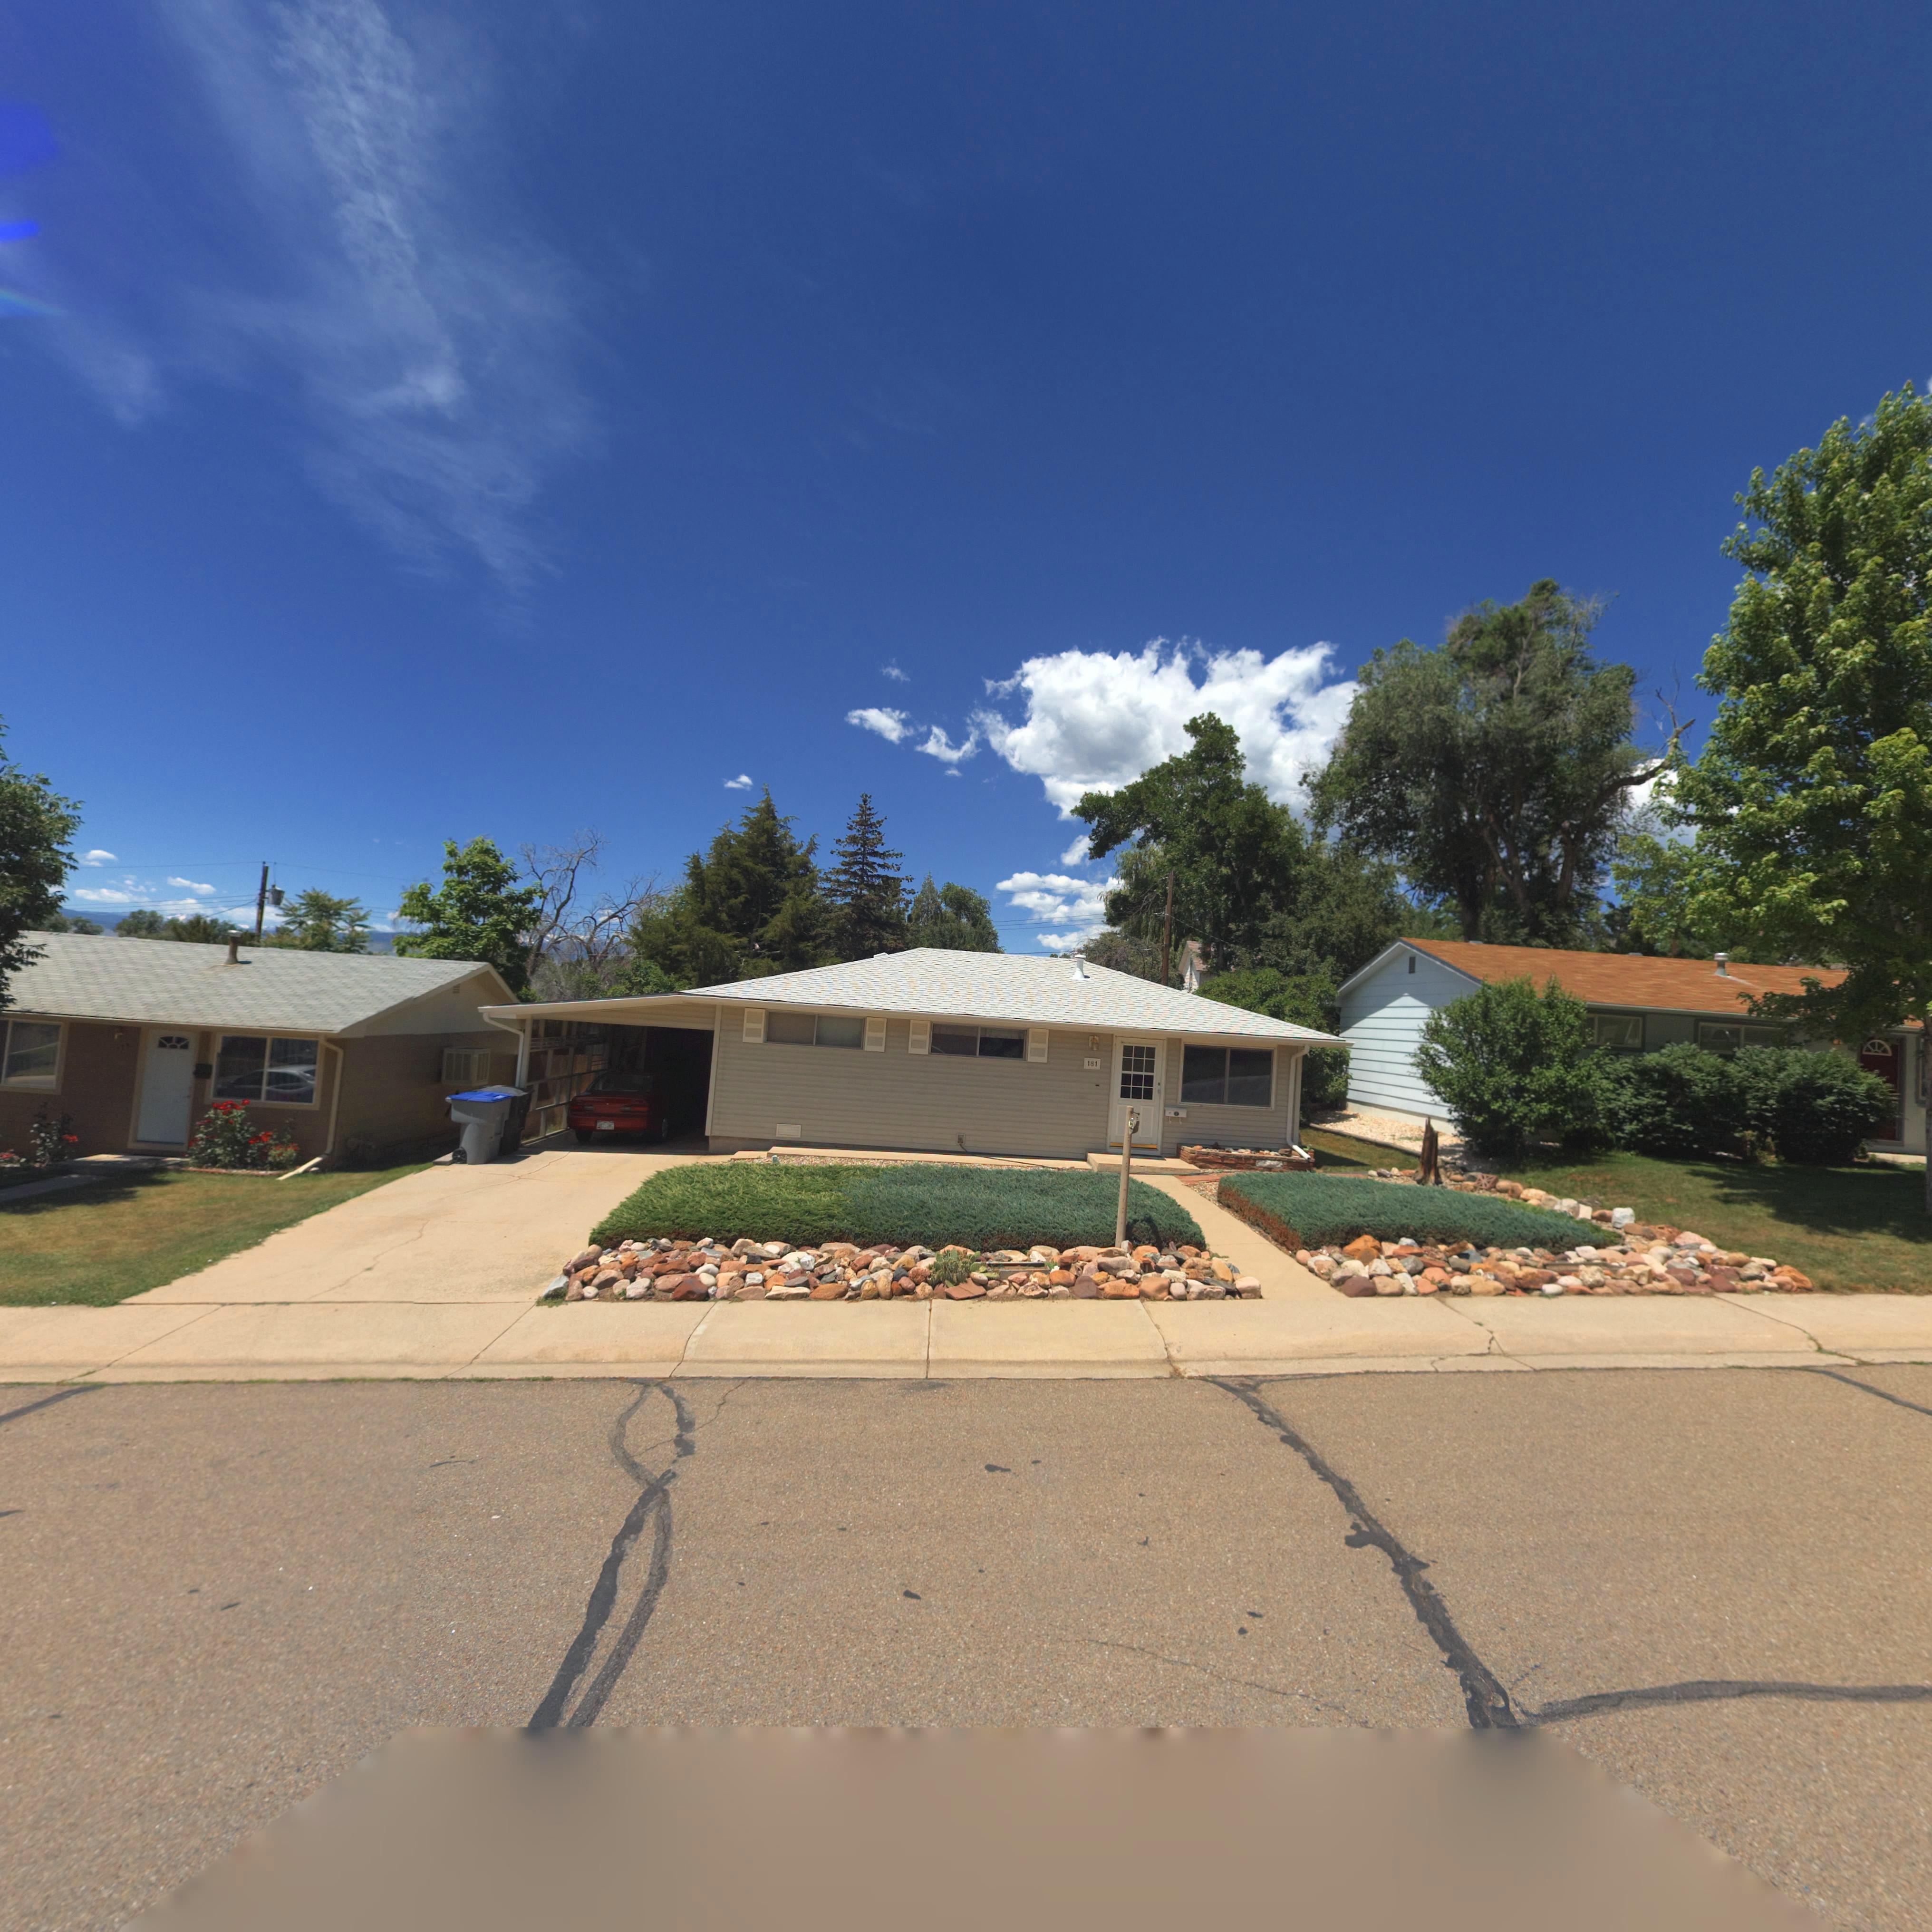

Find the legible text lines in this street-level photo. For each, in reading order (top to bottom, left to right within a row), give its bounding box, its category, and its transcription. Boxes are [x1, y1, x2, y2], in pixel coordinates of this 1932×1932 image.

[115, 1042, 131, 1054] StreetNumber: **3
[1087, 1060, 1097, 1067] StreetNumber: 181